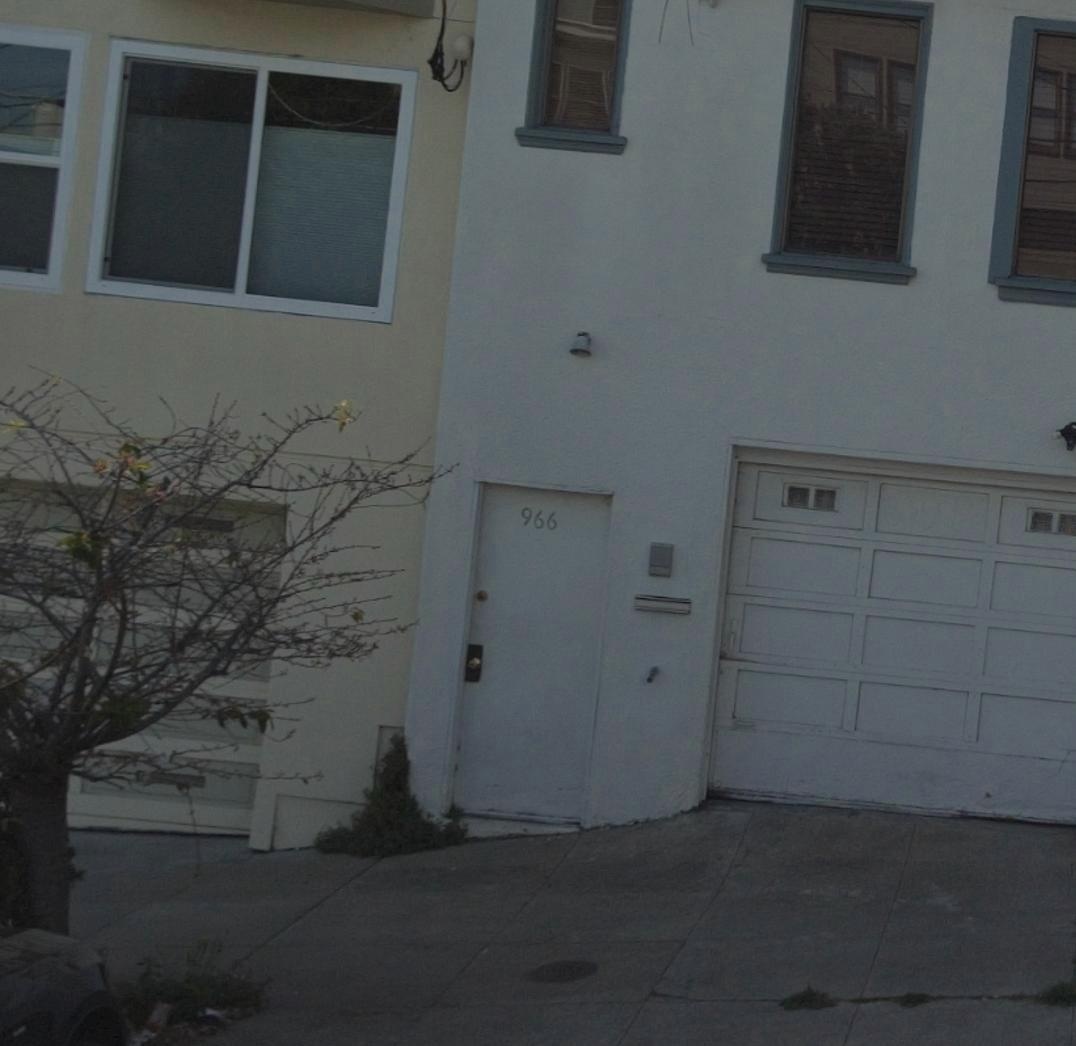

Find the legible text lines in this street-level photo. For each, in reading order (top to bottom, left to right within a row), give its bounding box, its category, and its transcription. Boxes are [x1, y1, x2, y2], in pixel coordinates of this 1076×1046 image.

[518, 506, 561, 532] StreetNumber: 966